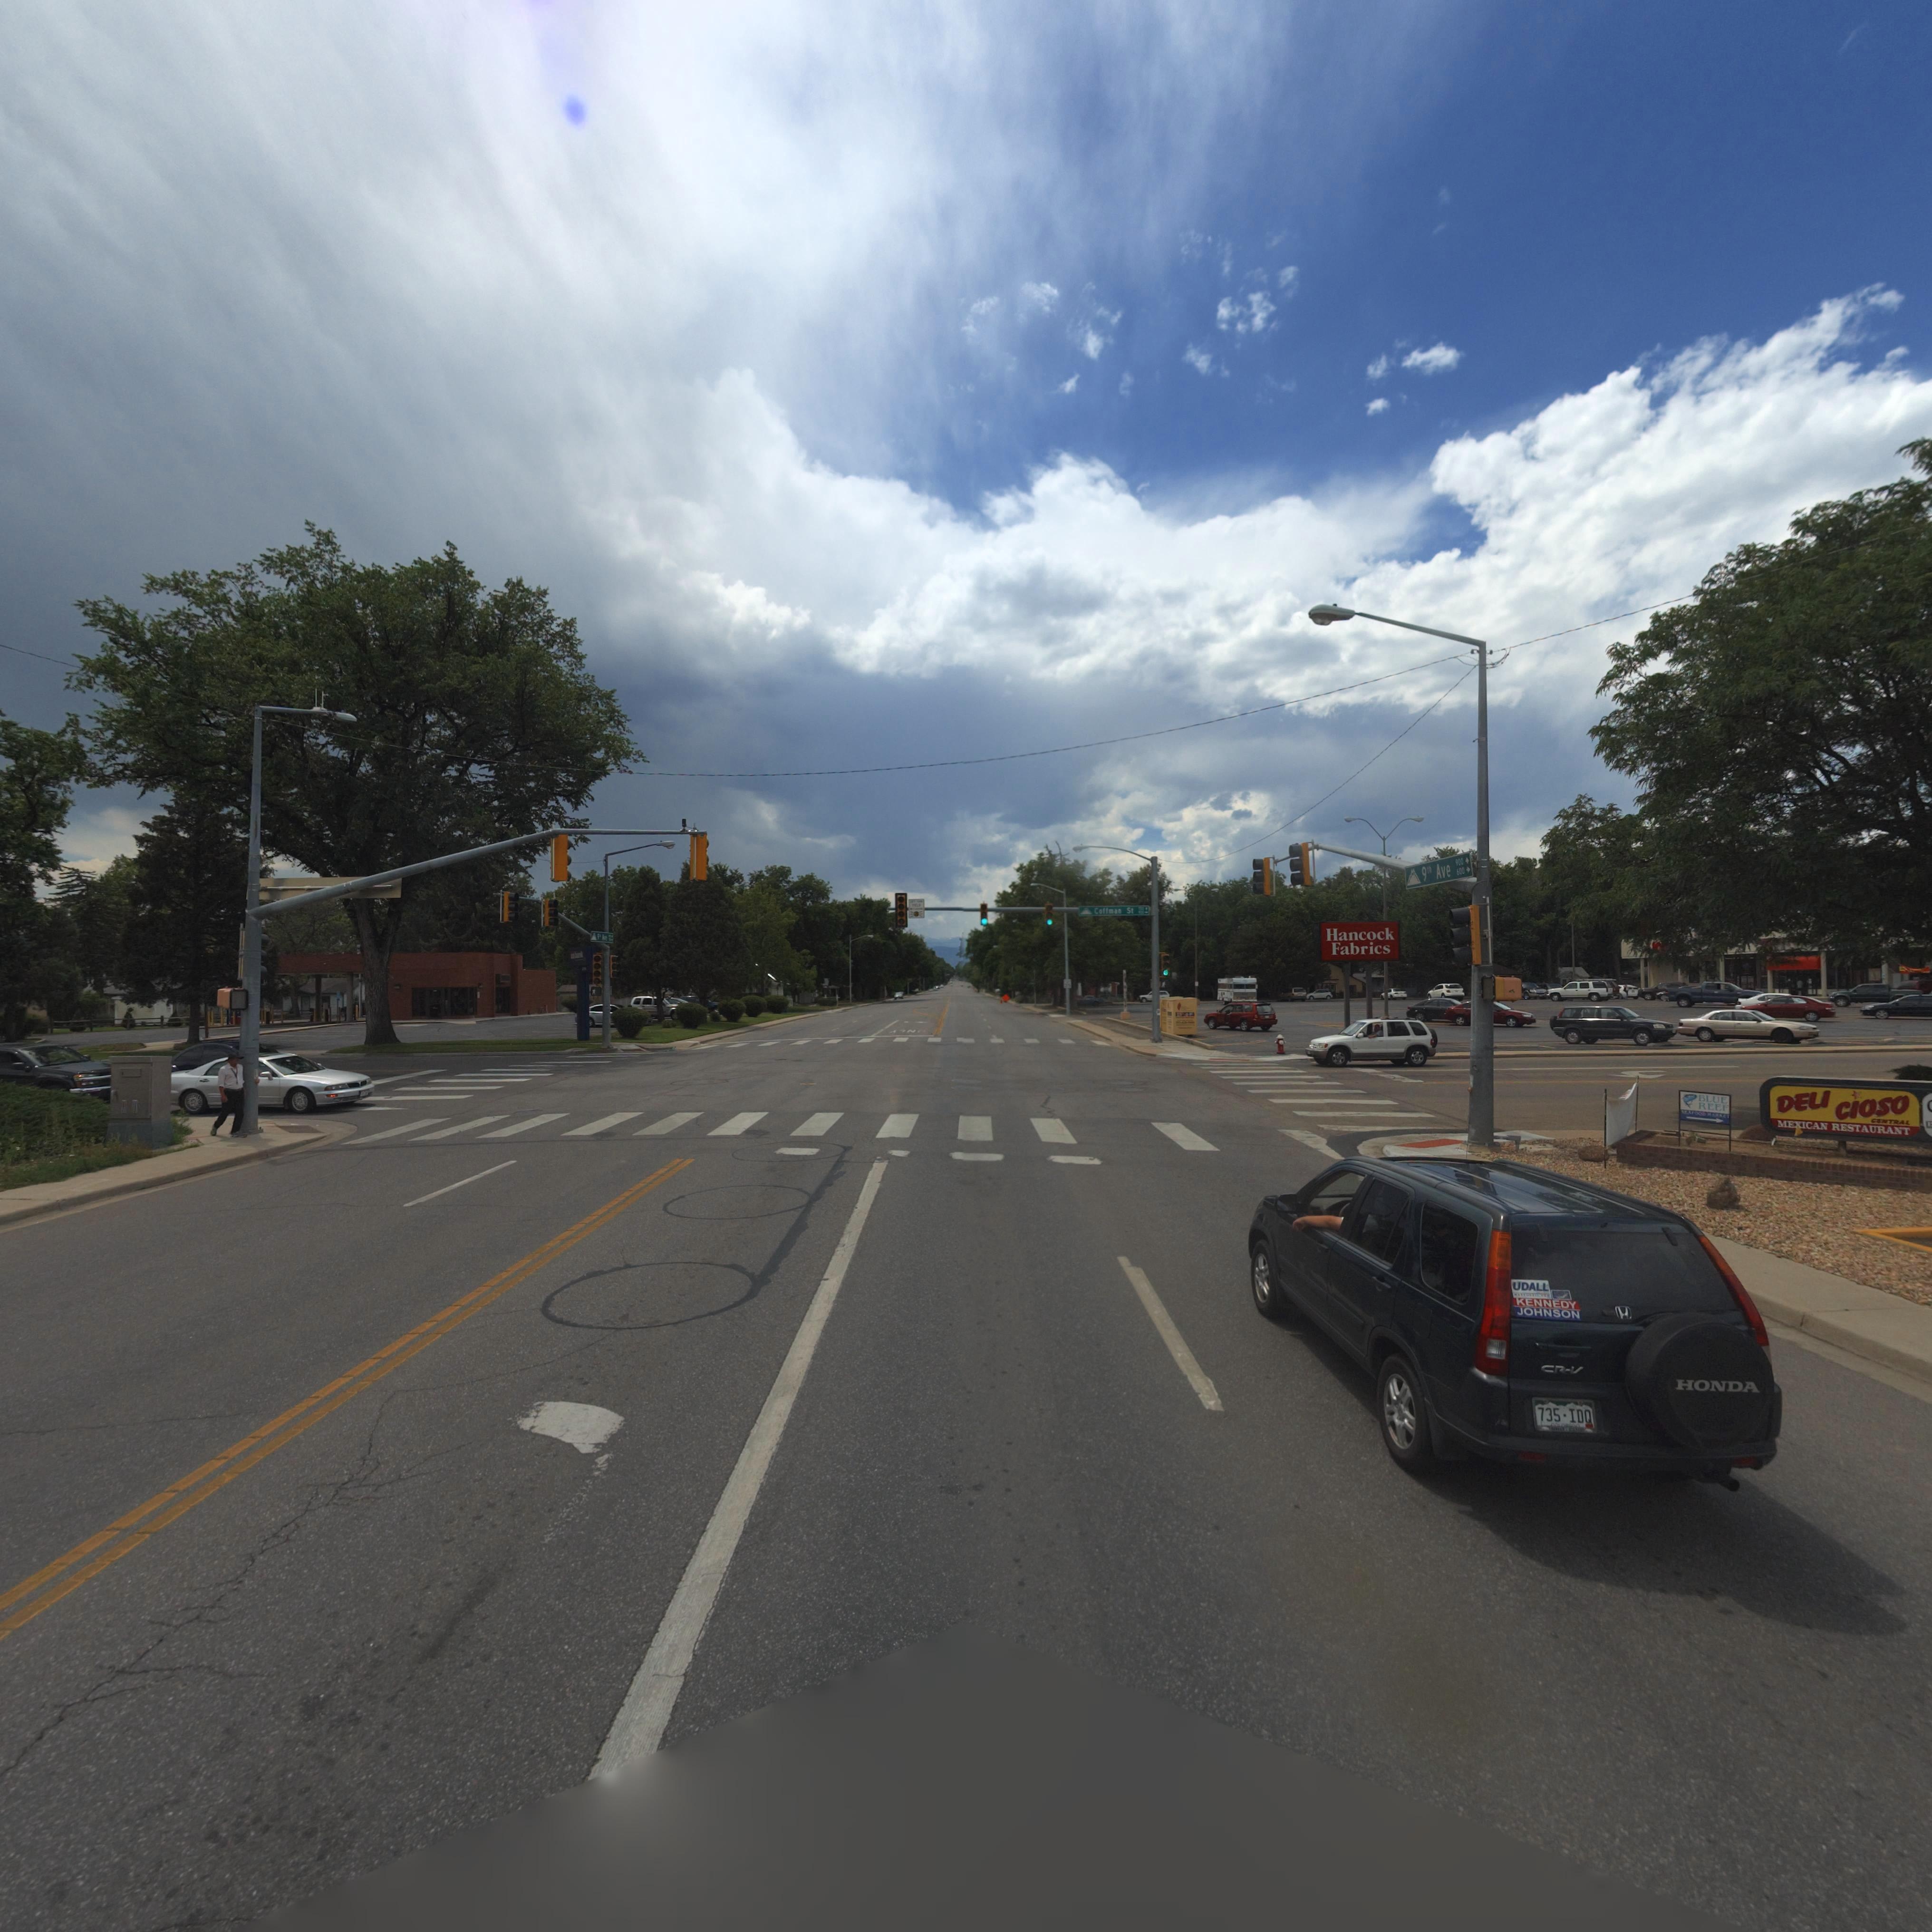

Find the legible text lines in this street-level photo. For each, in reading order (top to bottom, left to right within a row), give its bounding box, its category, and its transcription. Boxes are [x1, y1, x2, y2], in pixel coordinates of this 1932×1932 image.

[1455, 857, 1464, 866] StreetNumberRange: 900
[1422, 863, 1450, 881] StreetName: 9th Ave
[1456, 866, 1471, 875] StreetNumberRange: 600->
[1094, 907, 1133, 914] StreetName: Coffman St
[1138, 907, 1144, 910] StreetNumberRange: 700
[1138, 910, 1148, 914] StreetNumberRange: 900->
[597, 933, 607, 940] StreetName: 9th Ave
[1325, 927, 1395, 941] BusinessName: Hancock
[1331, 941, 1391, 955] BusinessName: Fabrics
[570, 950, 583, 958] BusinessName: usbank
[1775, 1089, 1832, 1114] BusinessName: DELI
[1834, 1094, 1910, 1121] BusinessName: CIOSO
[1871, 1118, 1910, 1125] BusinessName: CONTRAL